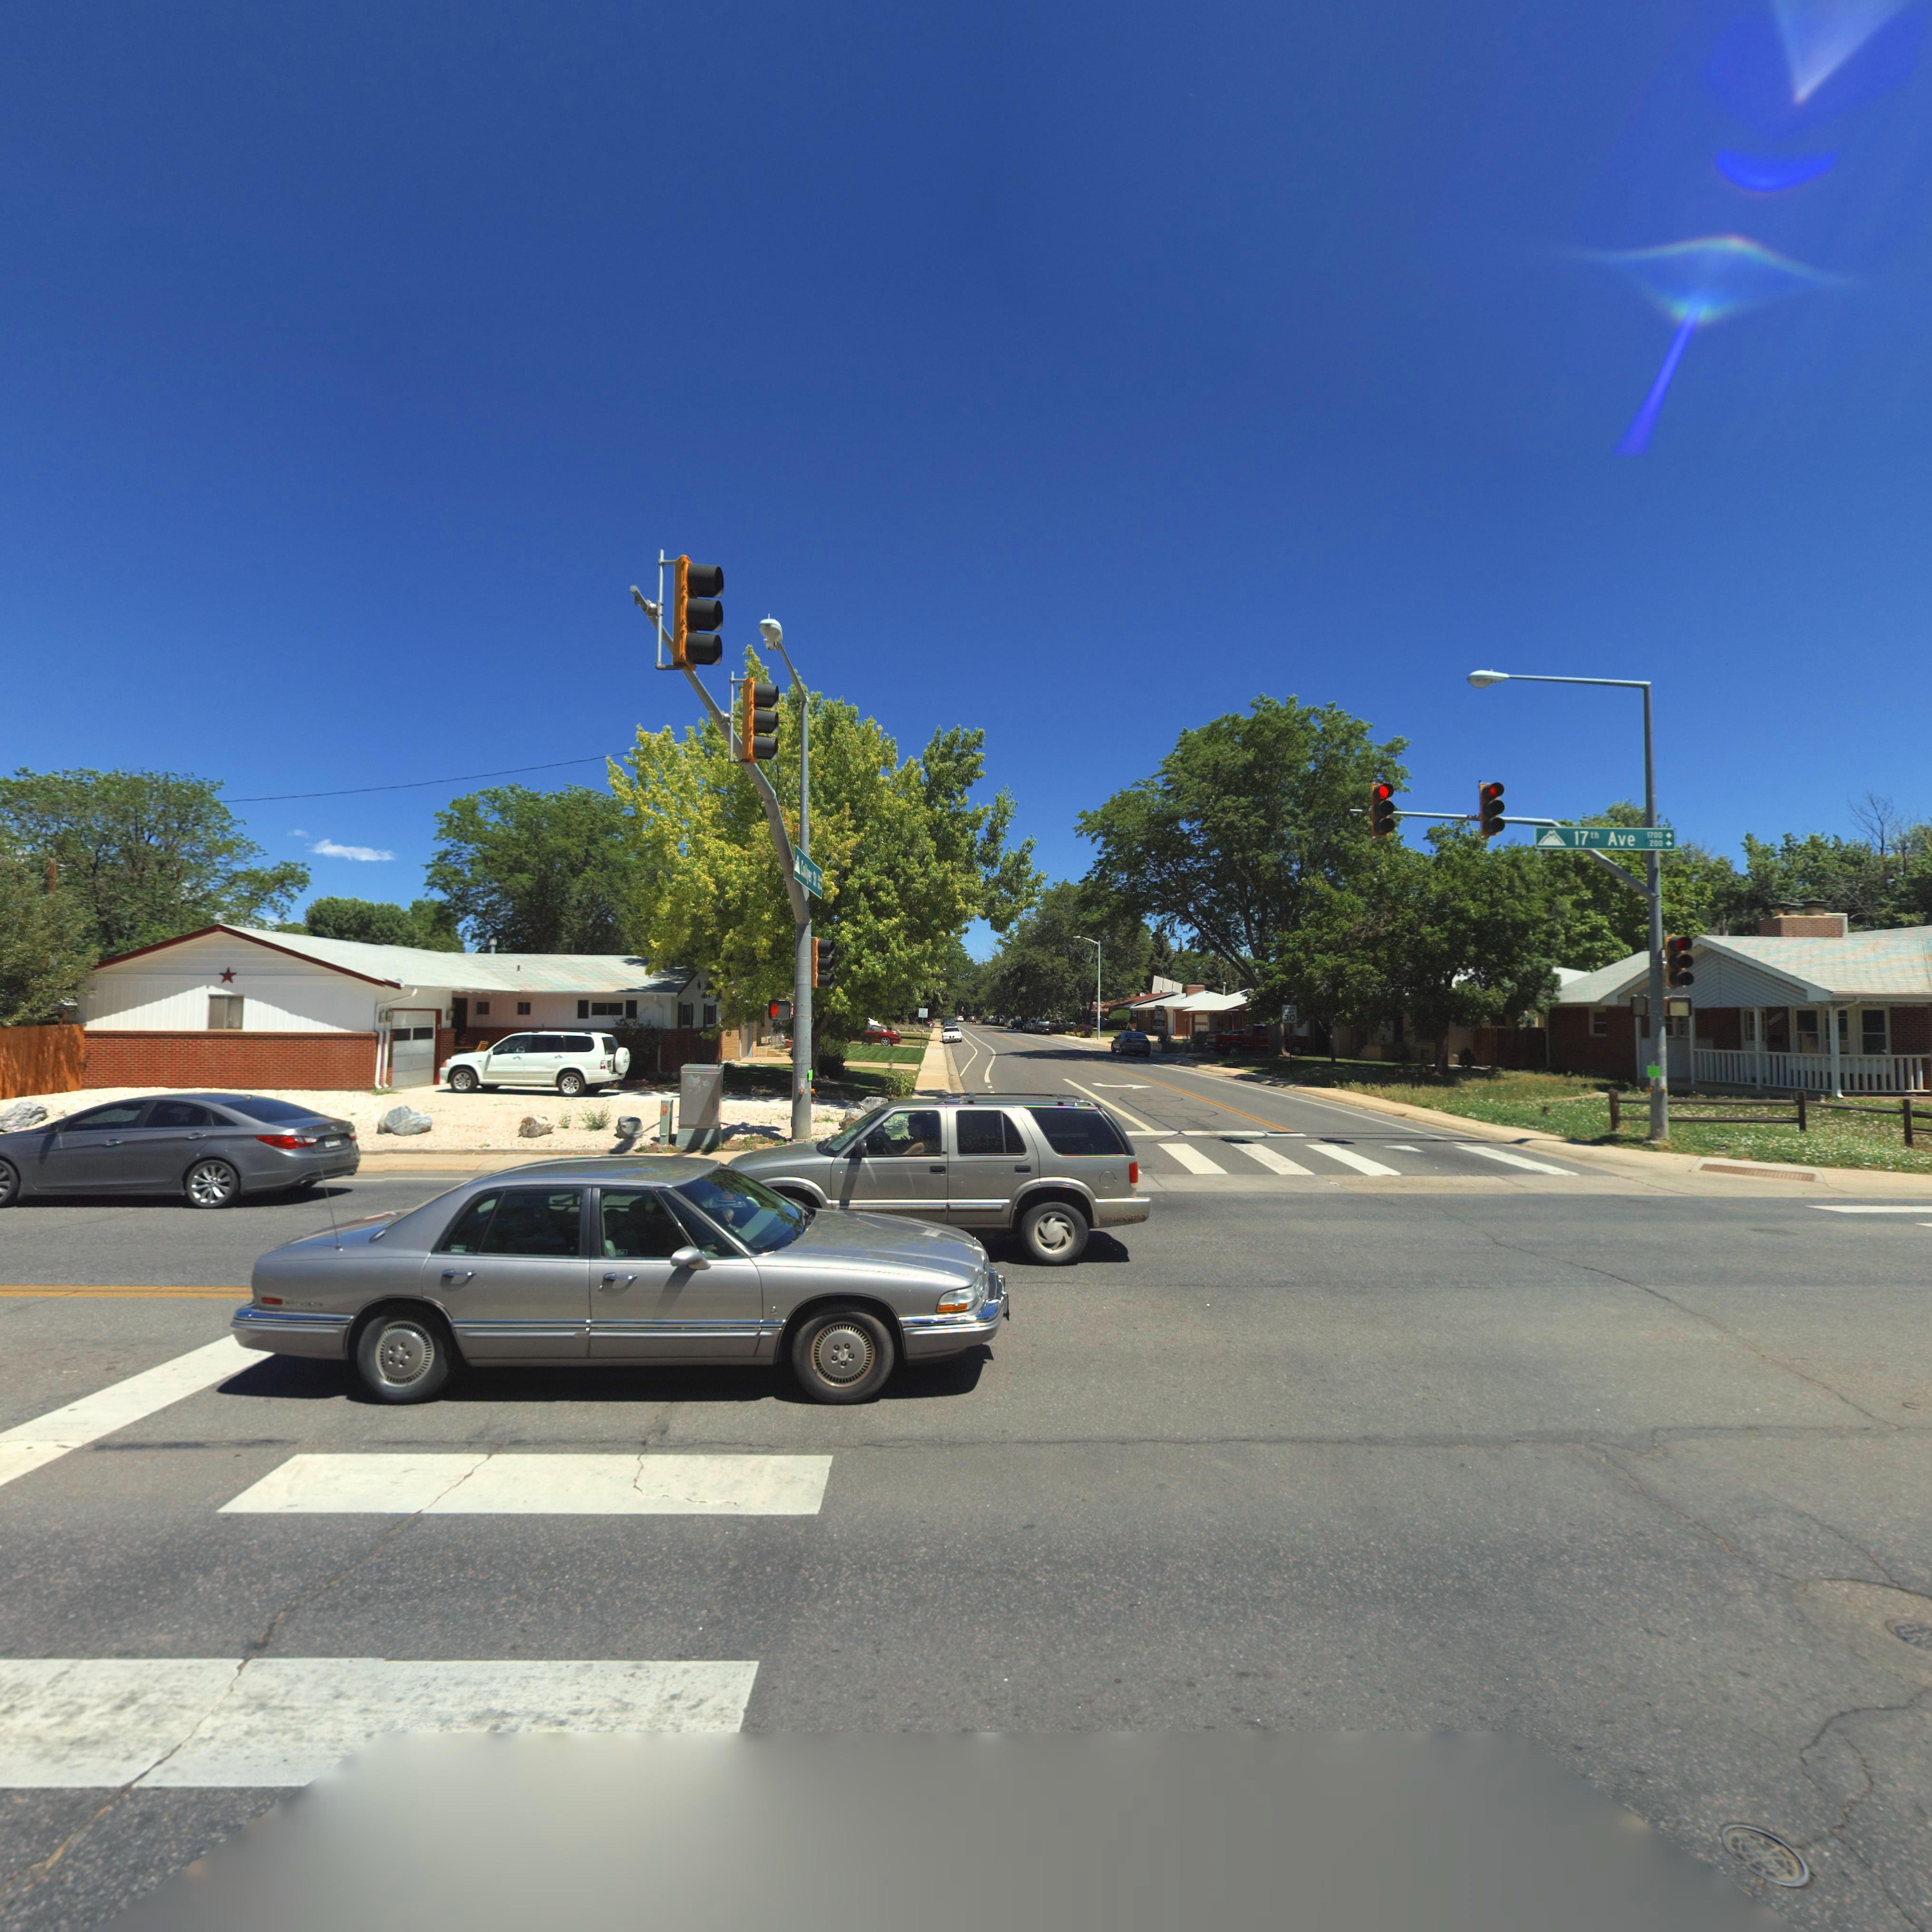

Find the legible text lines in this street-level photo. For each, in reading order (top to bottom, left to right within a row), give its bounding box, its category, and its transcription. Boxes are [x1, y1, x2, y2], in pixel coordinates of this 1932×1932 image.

[1574, 831, 1636, 847] StreetName: 17th Ave
[1647, 831, 1663, 838] StreetNumberRange: 1700
[1649, 840, 1672, 847] StreetNumberRange: 200->
[801, 860, 816, 887] StreetName: Collyer St